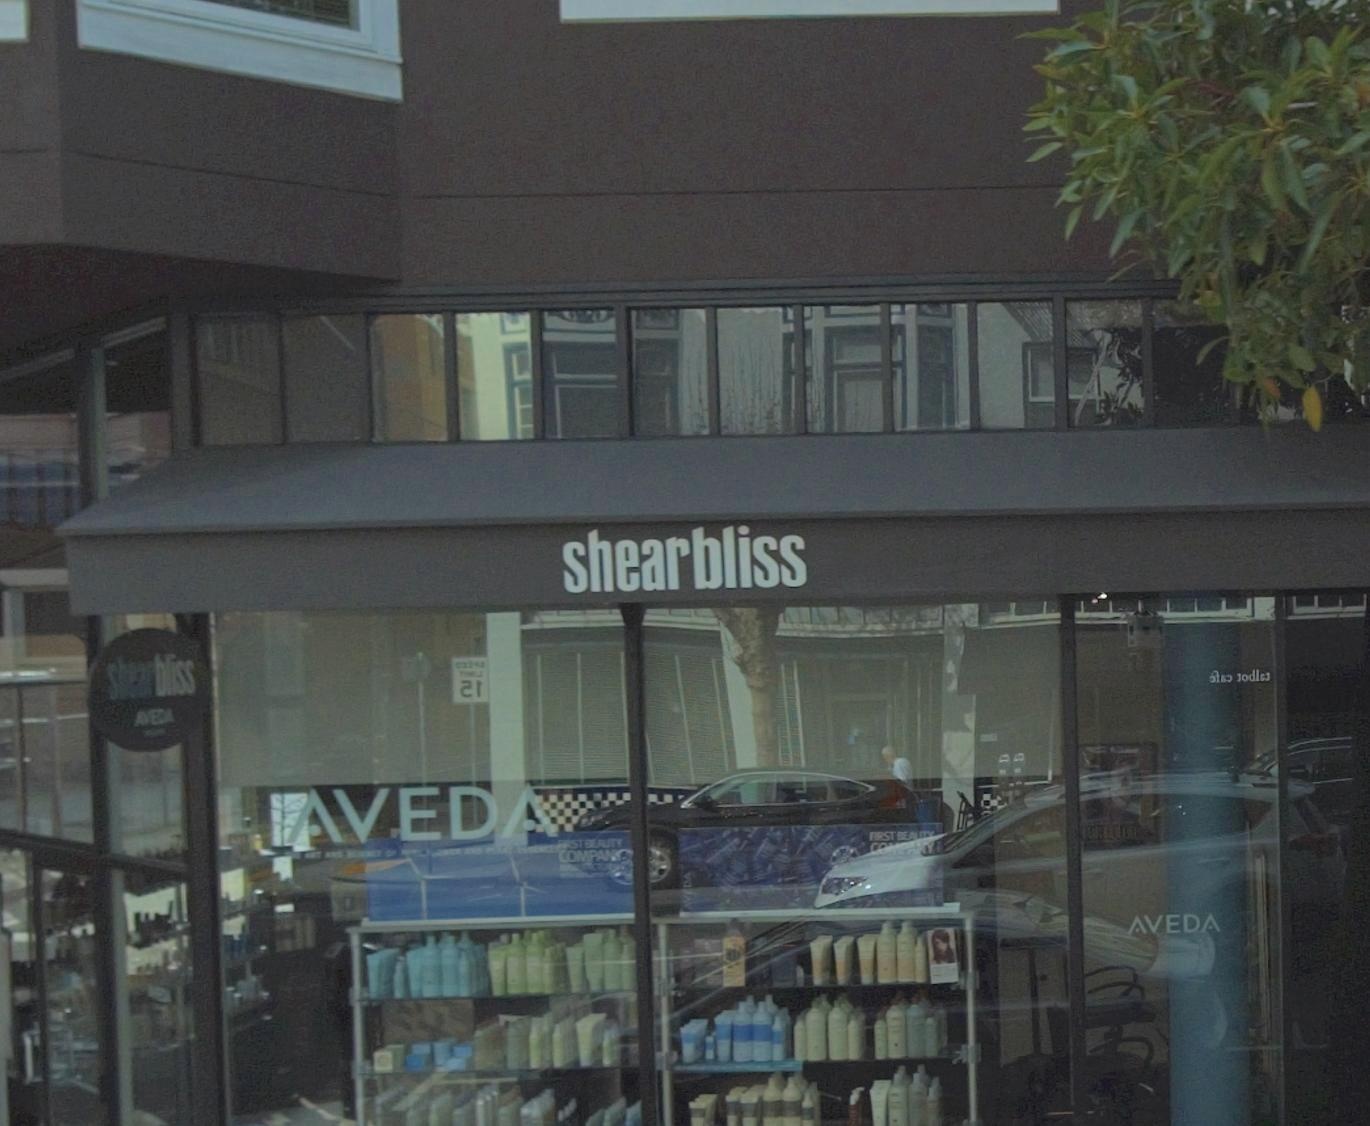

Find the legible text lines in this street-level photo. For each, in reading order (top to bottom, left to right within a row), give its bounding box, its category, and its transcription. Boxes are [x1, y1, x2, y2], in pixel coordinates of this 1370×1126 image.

[556, 520, 812, 598] None: shearbliss
[101, 649, 200, 706] None: shearbliss
[1202, 665, 1274, 687] None: **** *o*l**
[129, 704, 179, 731] BusinessName: **E*A
[277, 775, 565, 853] BusinessName: AVEDA
[555, 845, 626, 866] None: COMPANY
[867, 828, 937, 844] None: FIRST BEA**Y
[867, 839, 938, 859] None: COMPANY
[1124, 910, 1225, 938] BusinessName: AVEDA